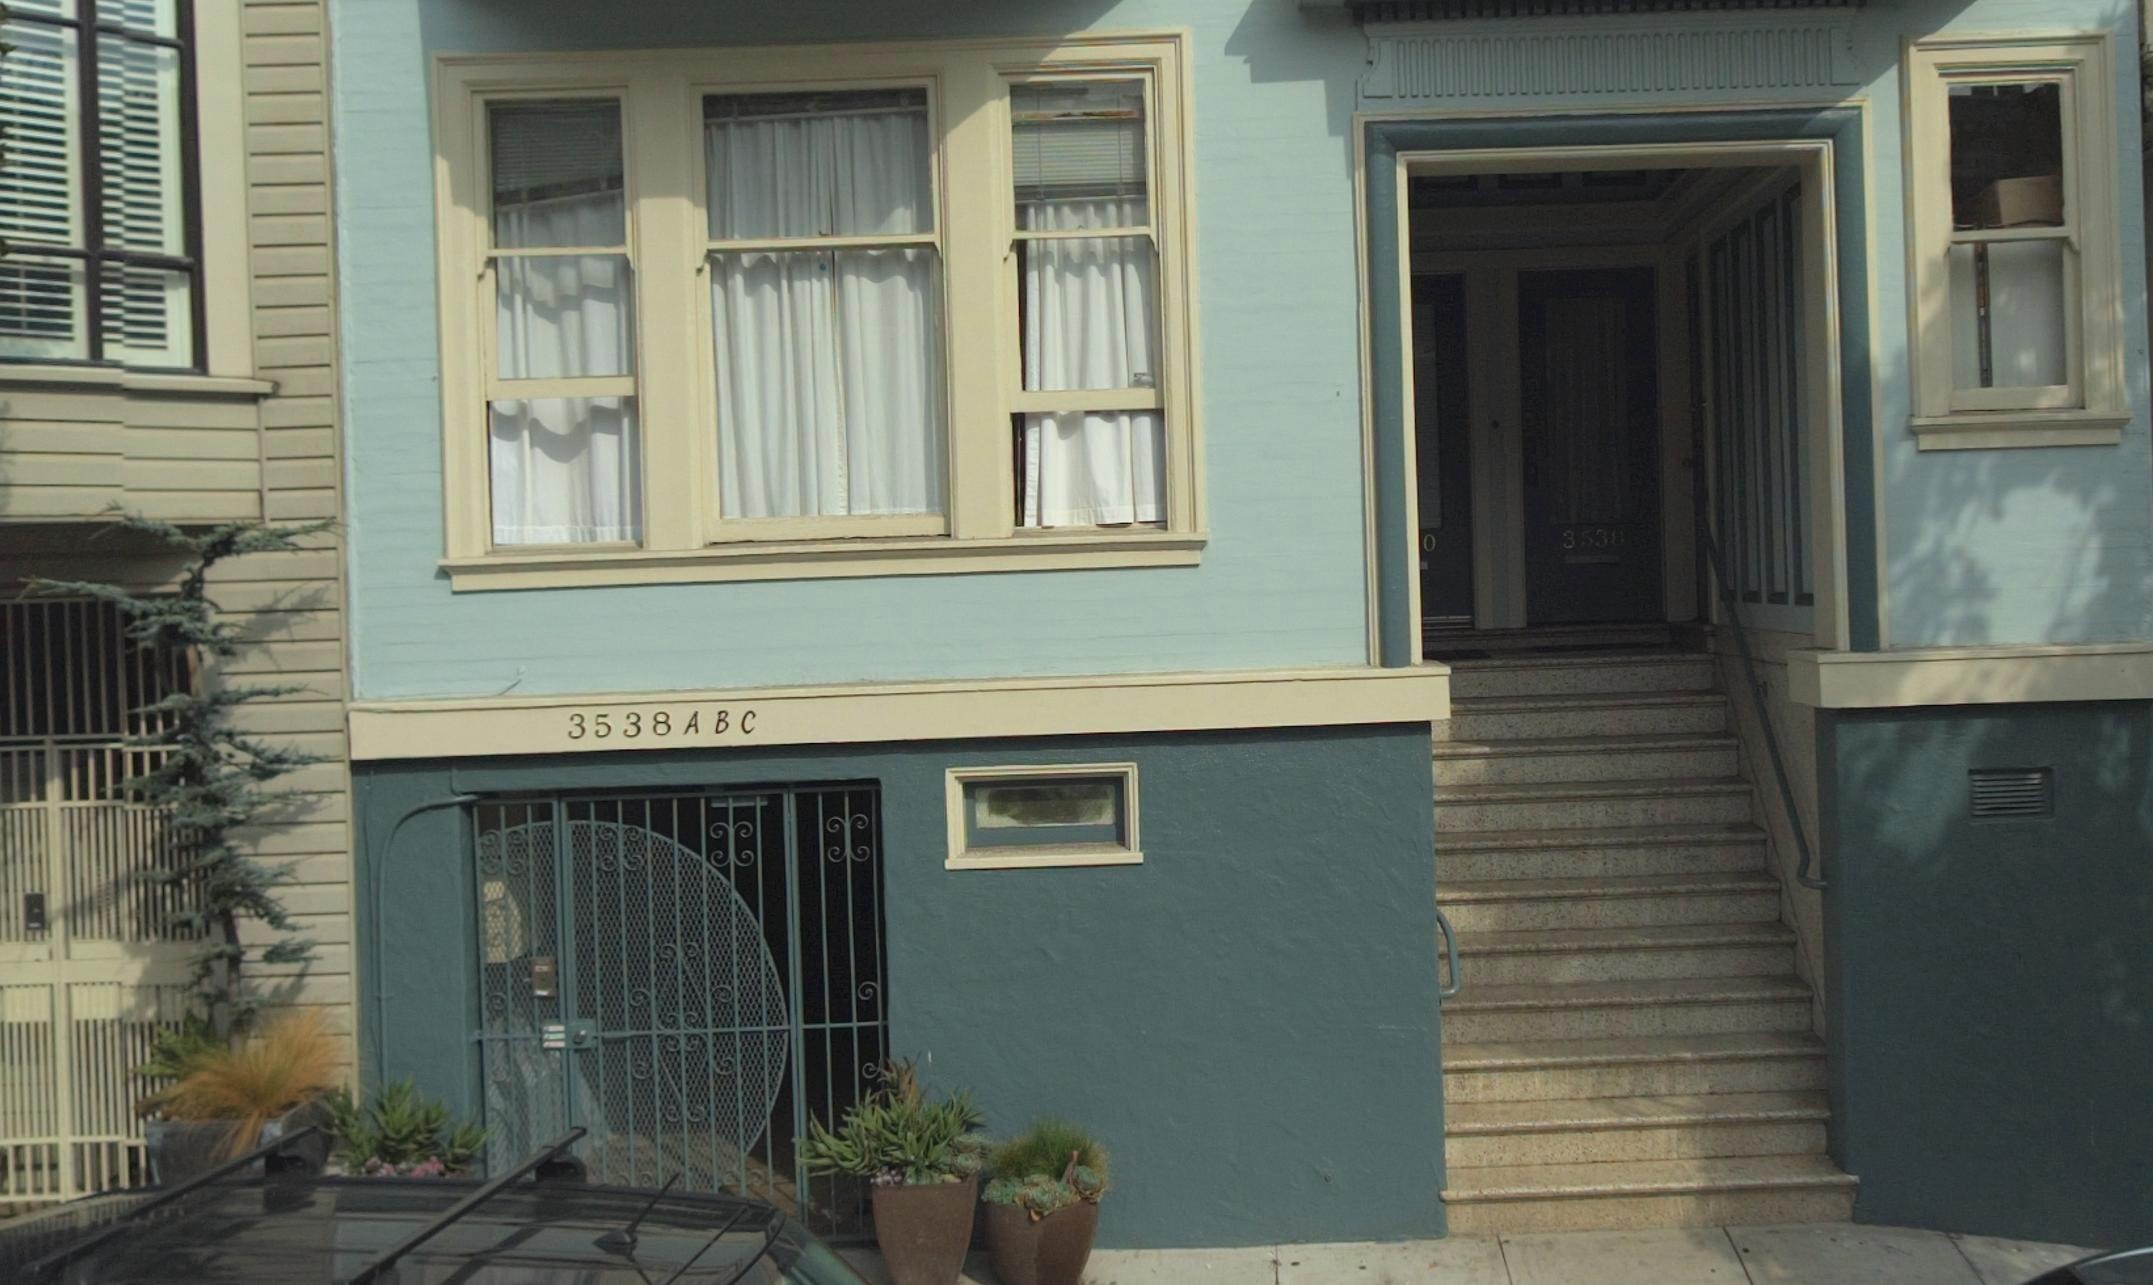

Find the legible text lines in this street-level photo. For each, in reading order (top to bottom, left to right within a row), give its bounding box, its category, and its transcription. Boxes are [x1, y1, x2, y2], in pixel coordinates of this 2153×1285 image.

[1421, 532, 1437, 556] StreetNumber: 0
[1562, 526, 1627, 550] StreetNumber: 3538
[564, 709, 757, 740] StreetNumber: 3538ABC